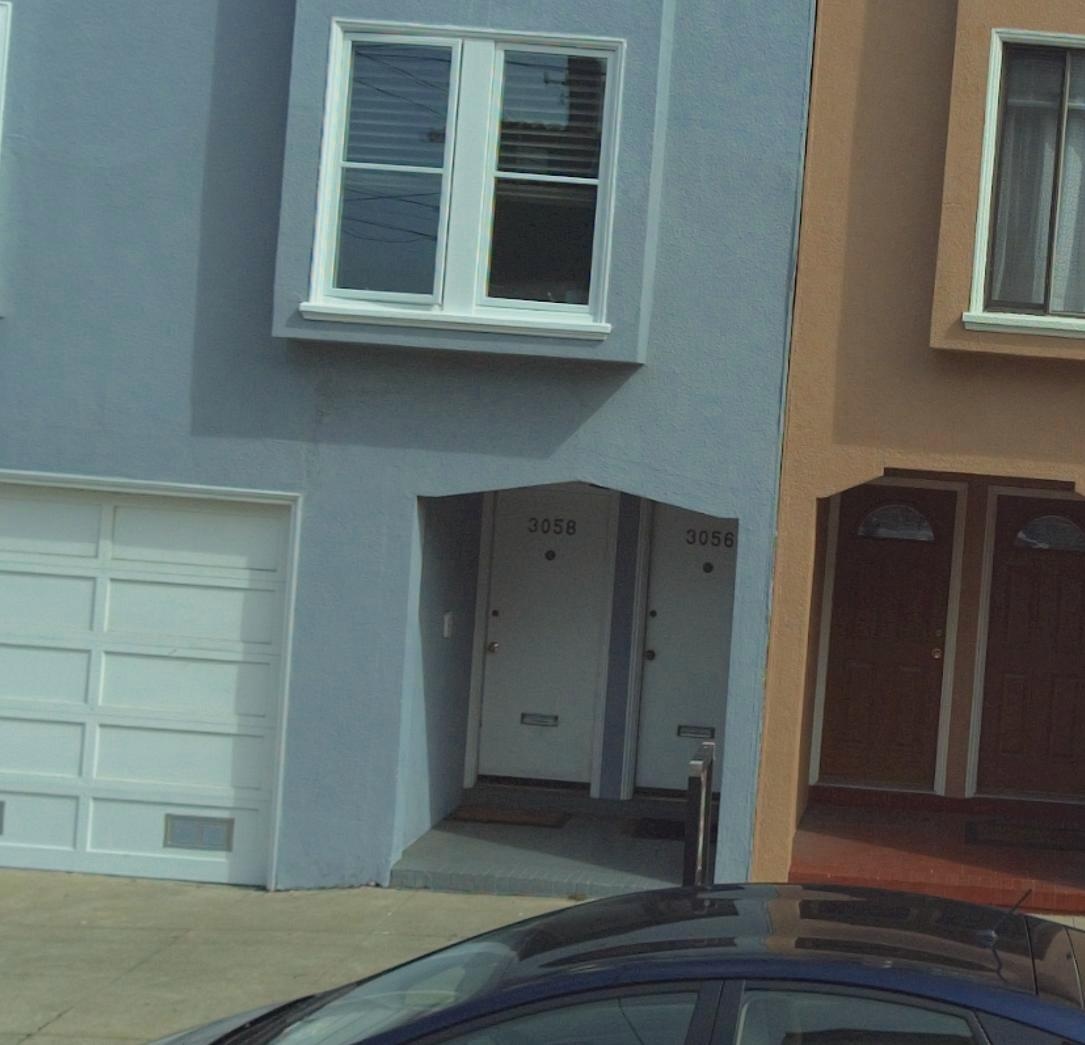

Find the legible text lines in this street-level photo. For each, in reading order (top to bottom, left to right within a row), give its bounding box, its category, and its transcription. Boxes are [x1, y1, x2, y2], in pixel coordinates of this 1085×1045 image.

[524, 515, 580, 539] StreetNumber: 3058
[683, 525, 737, 551] StreetNumber: 3056